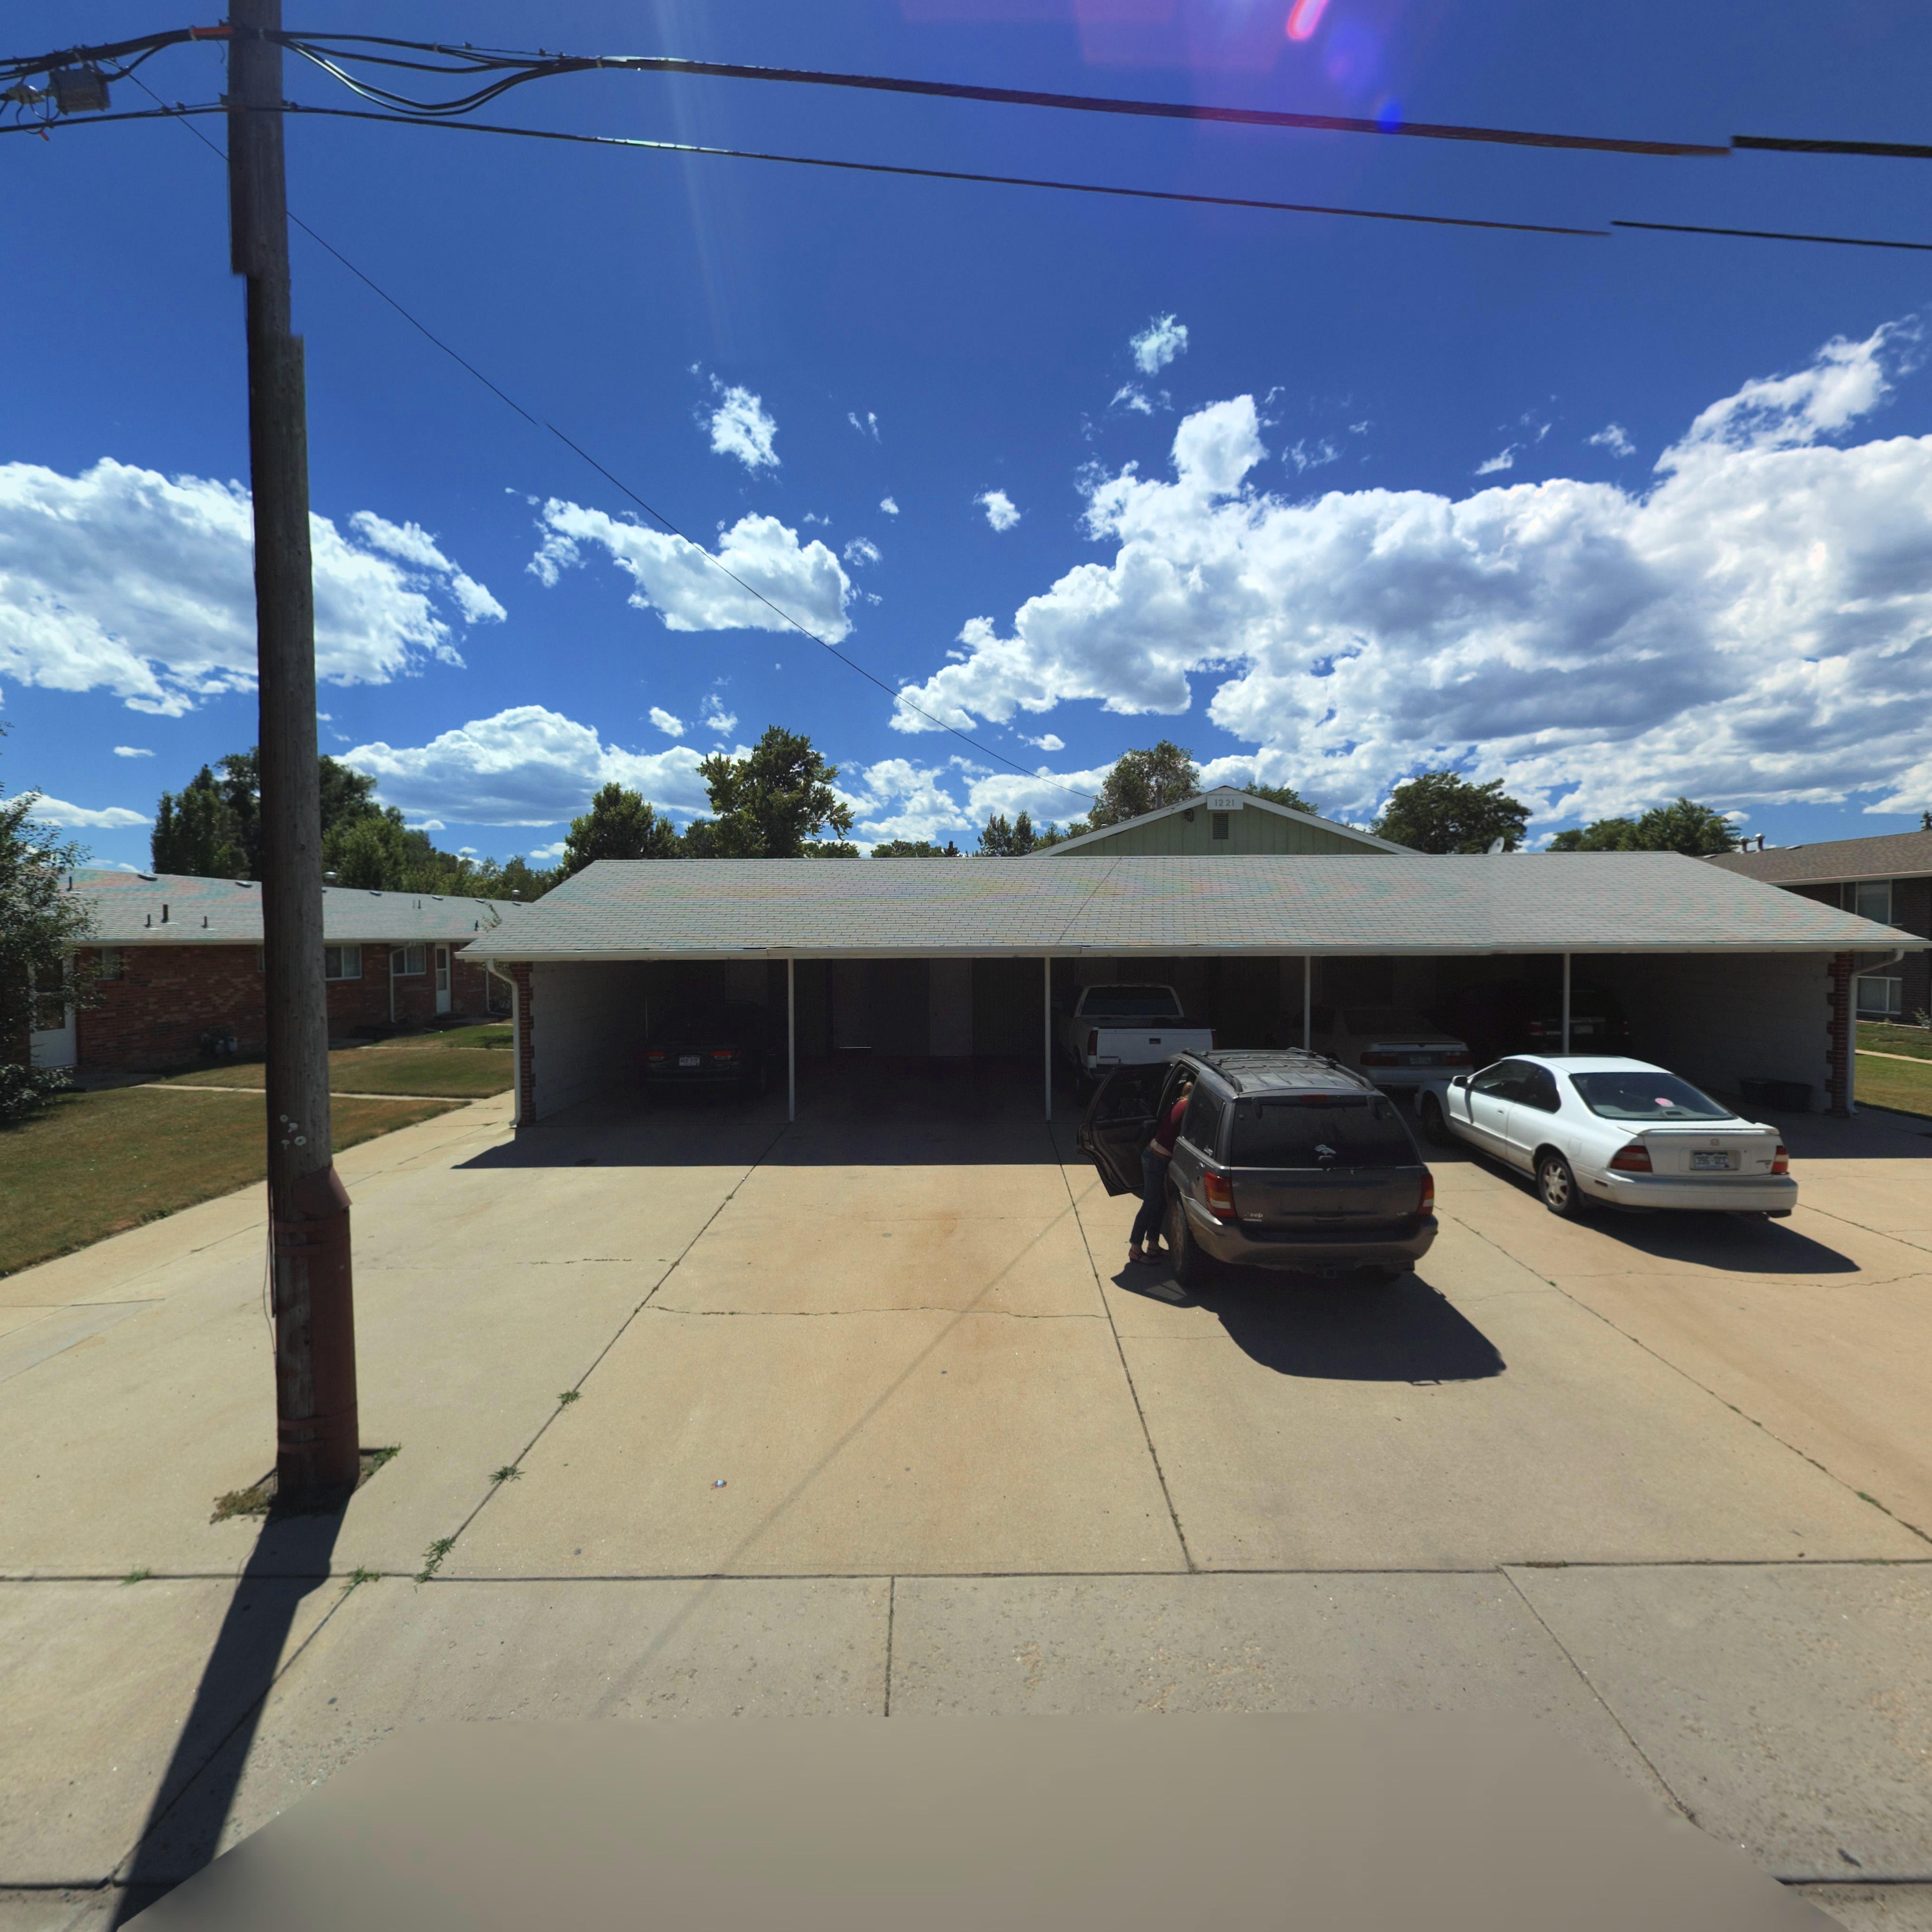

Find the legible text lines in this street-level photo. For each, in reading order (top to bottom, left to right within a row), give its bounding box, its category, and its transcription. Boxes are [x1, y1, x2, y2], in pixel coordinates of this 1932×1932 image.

[1215, 798, 1234, 806] StreetNumber: 1221